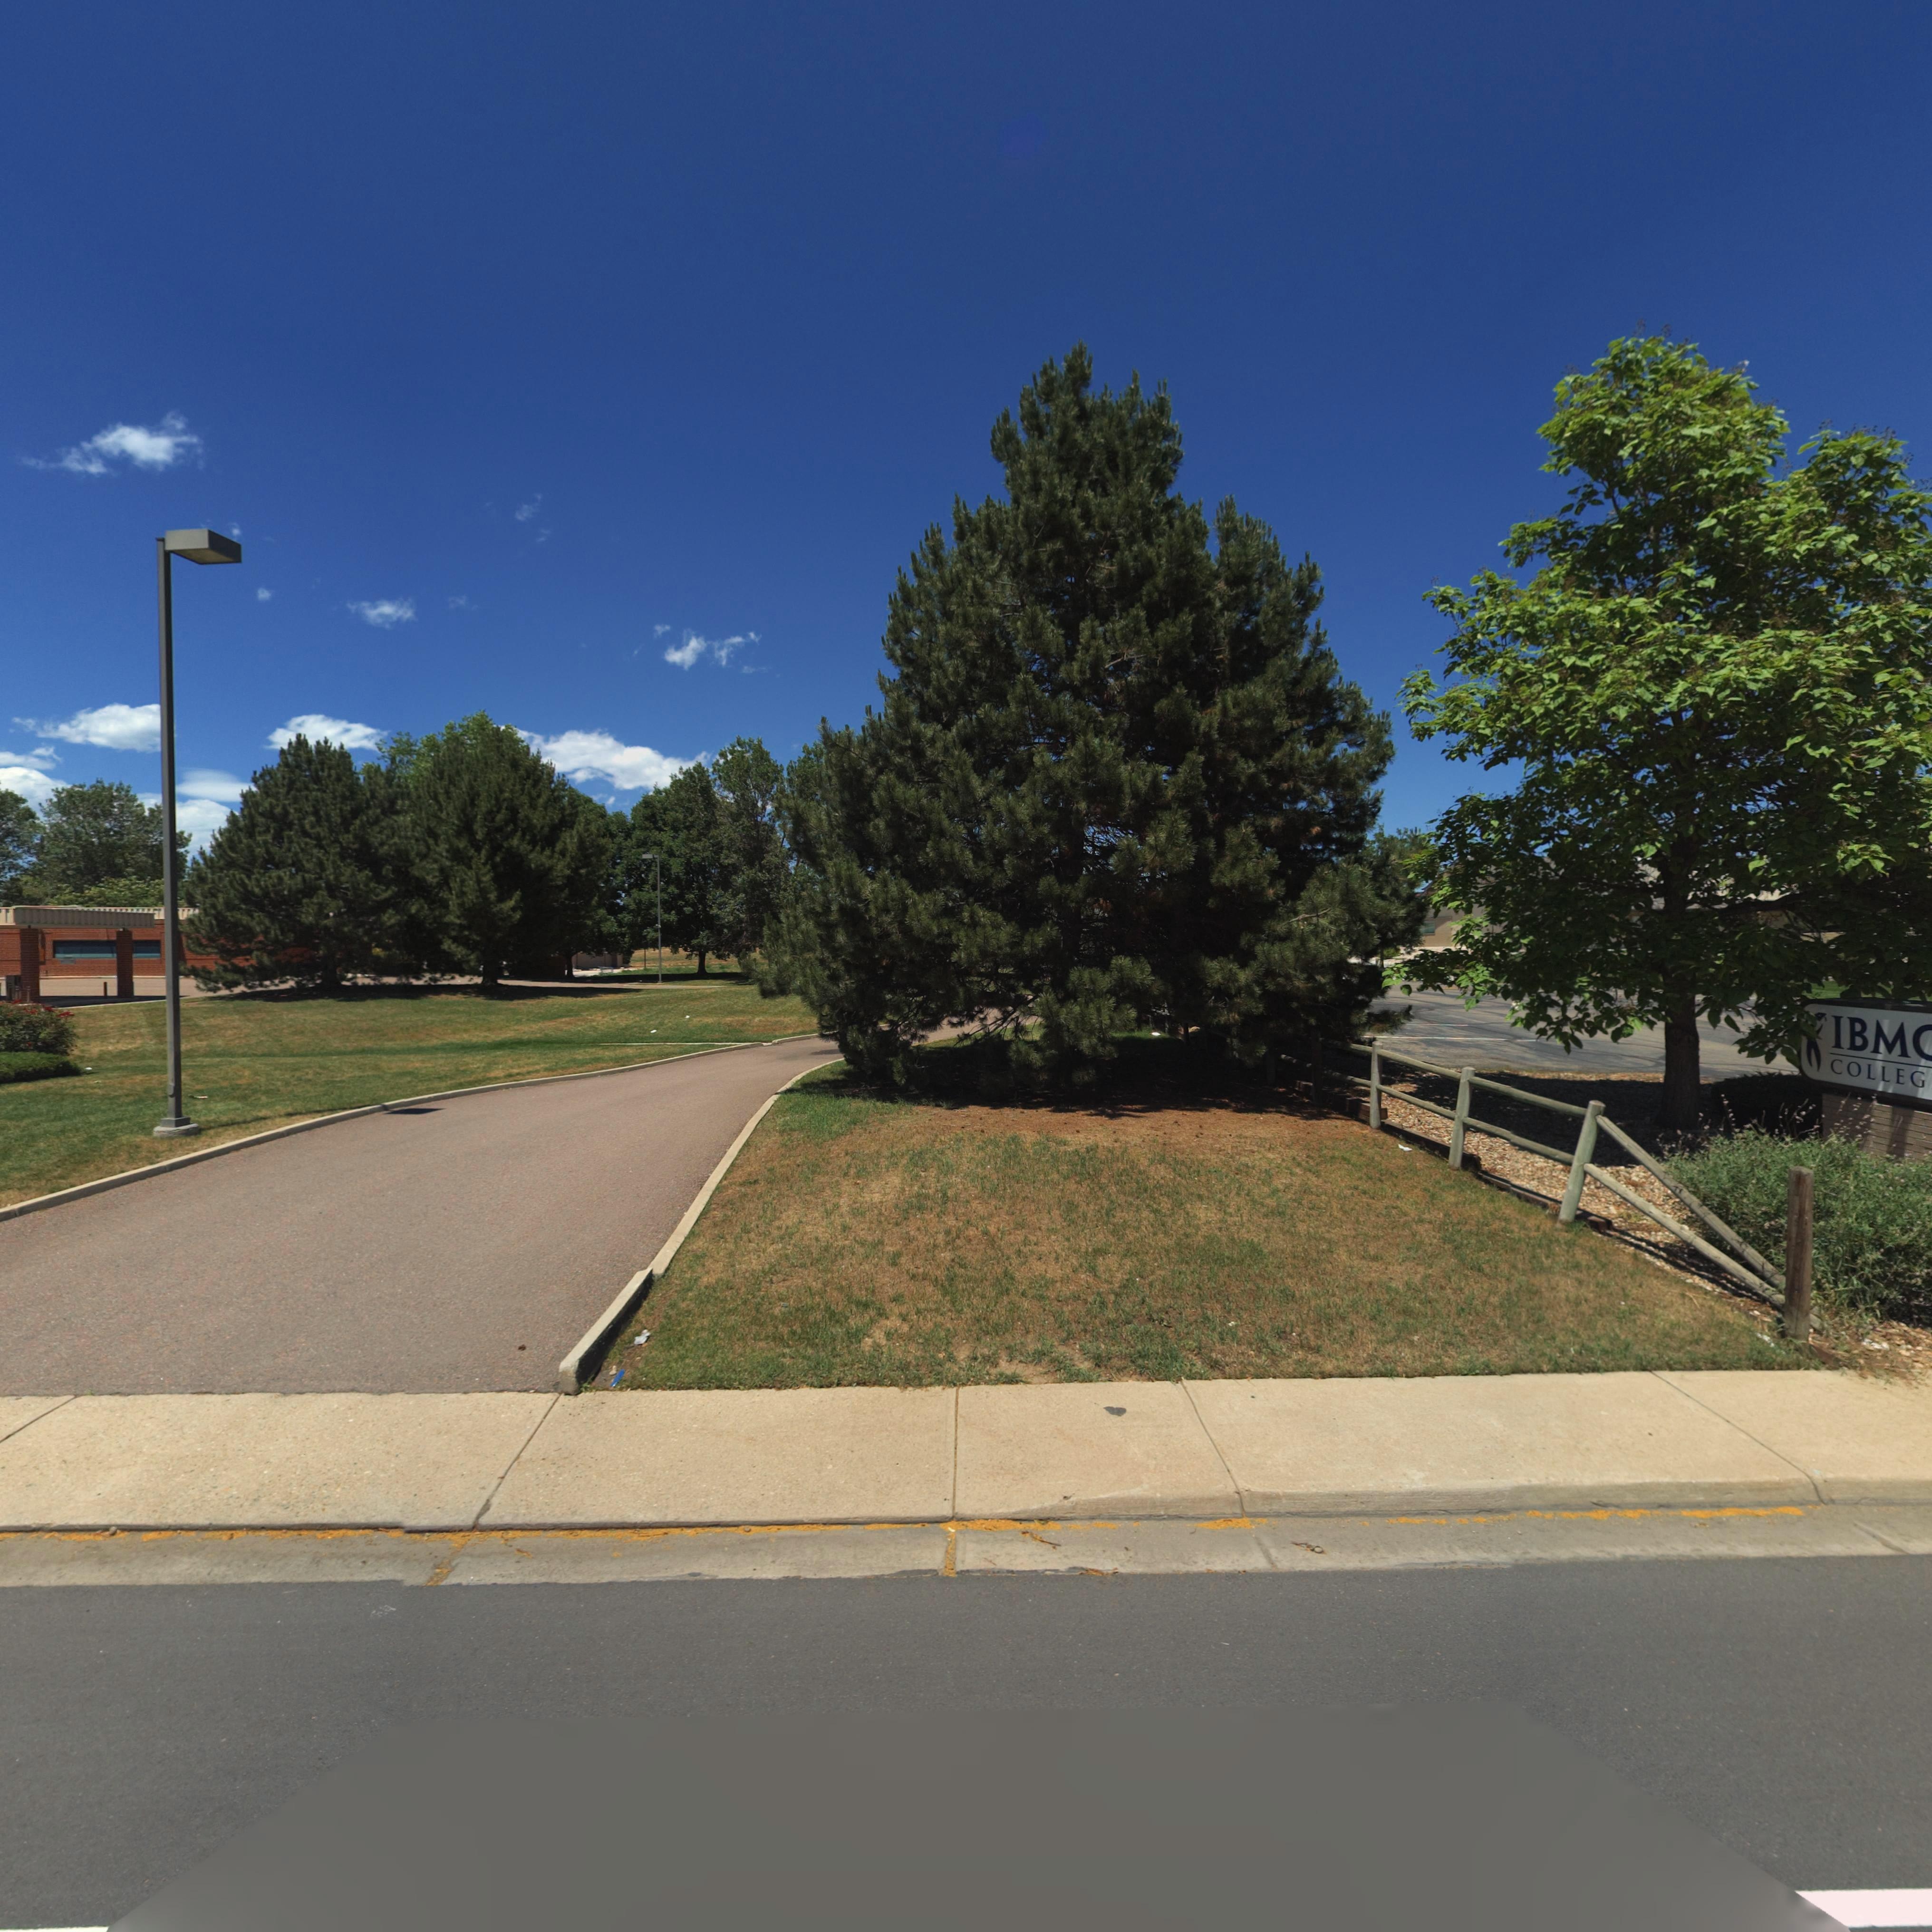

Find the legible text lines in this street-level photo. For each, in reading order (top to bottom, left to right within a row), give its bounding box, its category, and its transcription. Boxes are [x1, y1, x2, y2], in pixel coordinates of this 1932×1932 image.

[1830, 1014, 1913, 1059] BusinessName: IBM
[1830, 1058, 1925, 1089] BusinessName: COLLEG